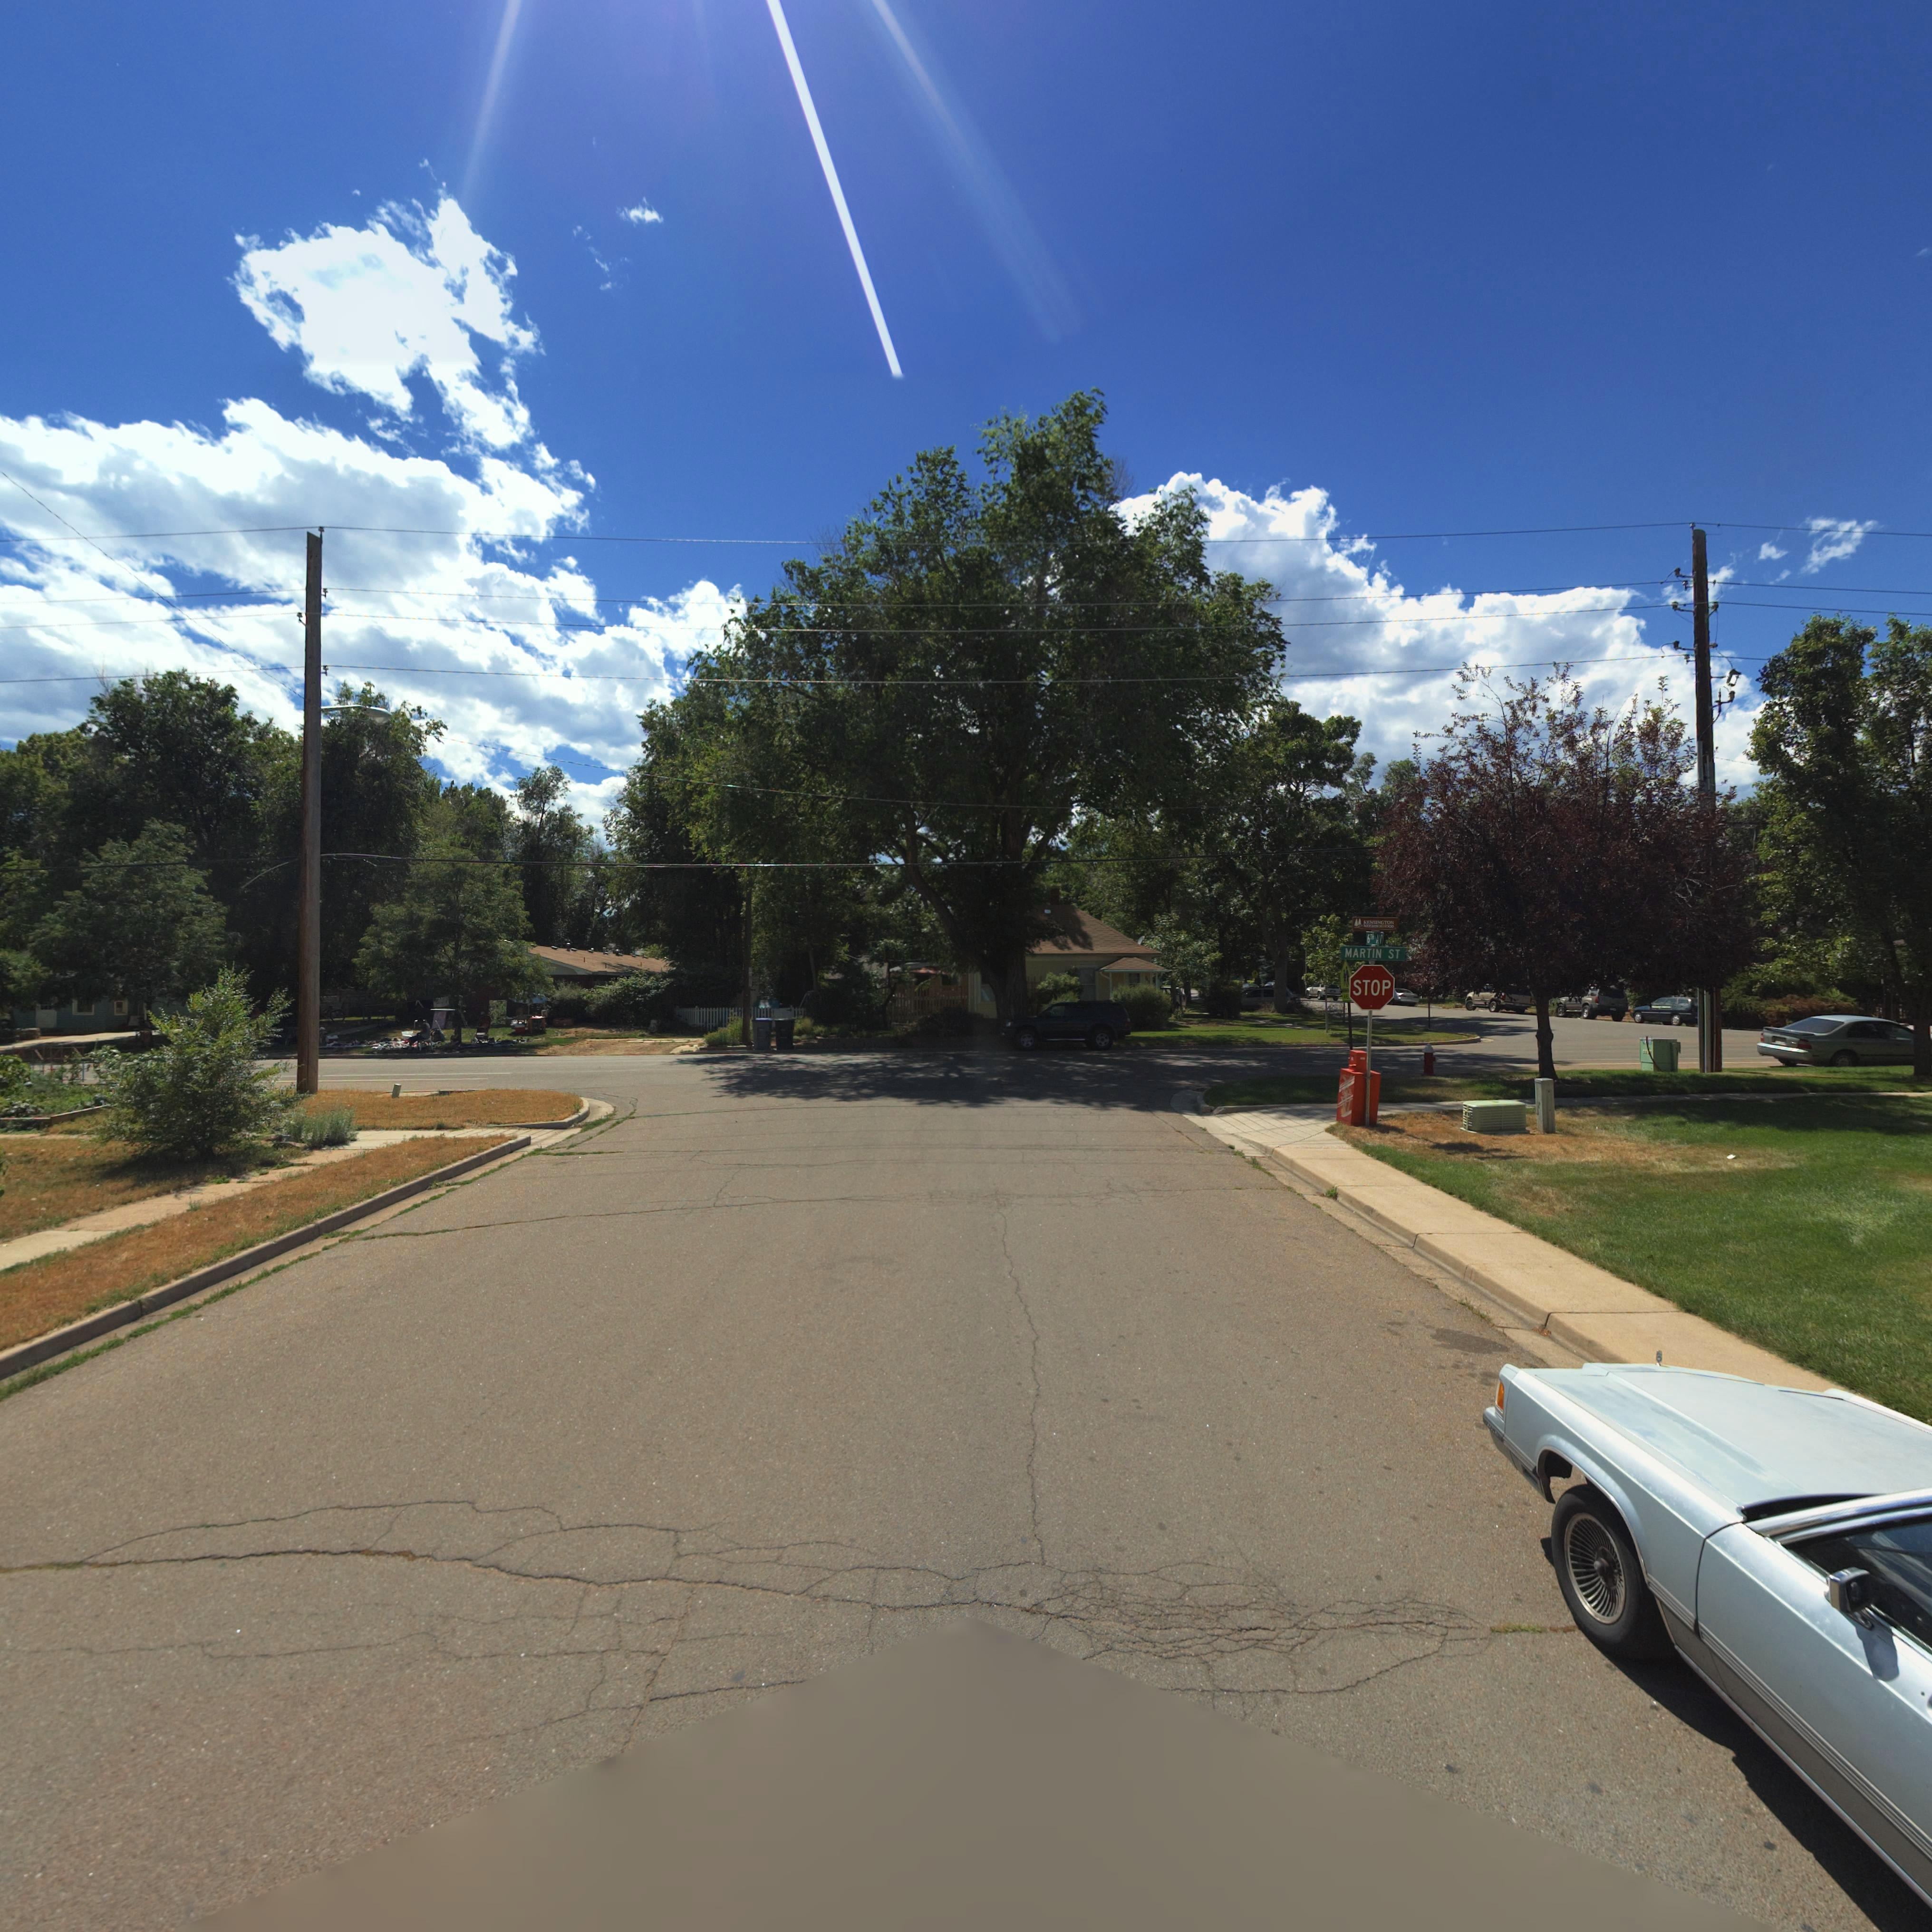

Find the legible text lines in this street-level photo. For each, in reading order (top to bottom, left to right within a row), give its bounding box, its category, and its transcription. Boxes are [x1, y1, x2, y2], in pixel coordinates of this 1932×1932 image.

[1366, 933, 1383, 945] StreetName: 6TH AV
[1344, 948, 1401, 959] StreetName: MARTIN ST